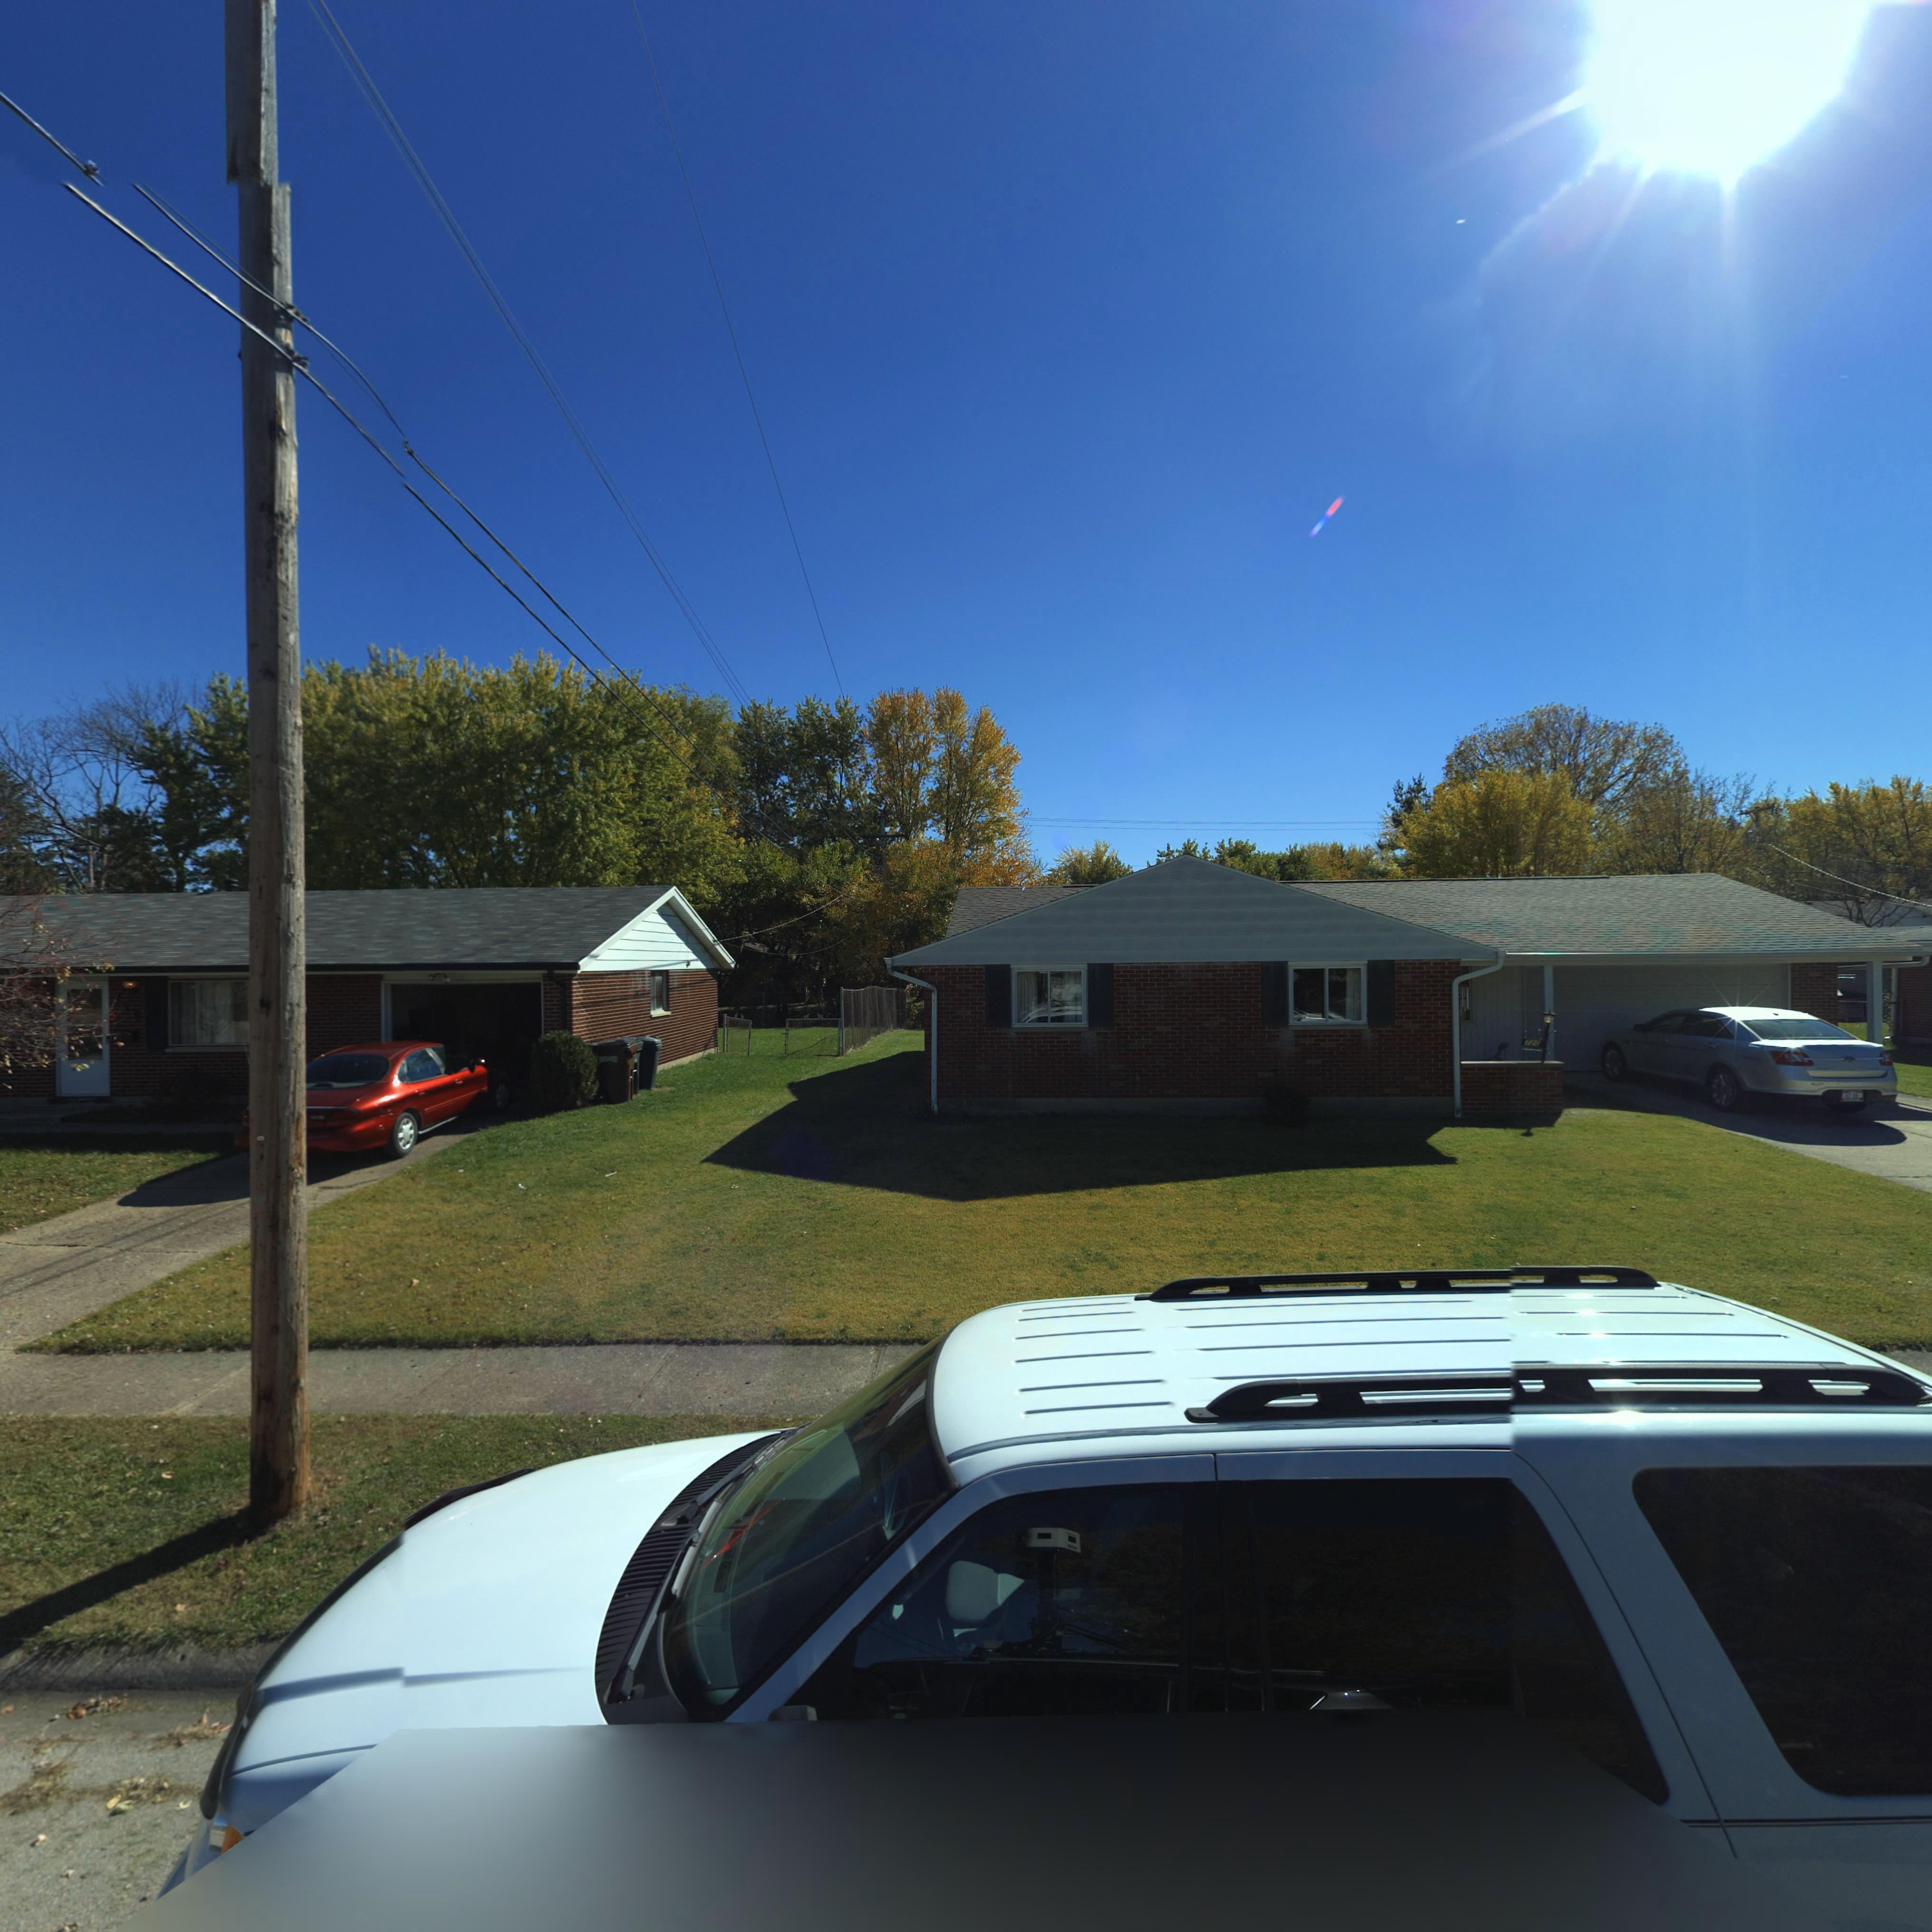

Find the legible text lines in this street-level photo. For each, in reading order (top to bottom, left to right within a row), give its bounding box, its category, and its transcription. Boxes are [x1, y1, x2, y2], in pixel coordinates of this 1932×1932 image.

[1524, 1039, 1541, 1047] StreetNumber: 720